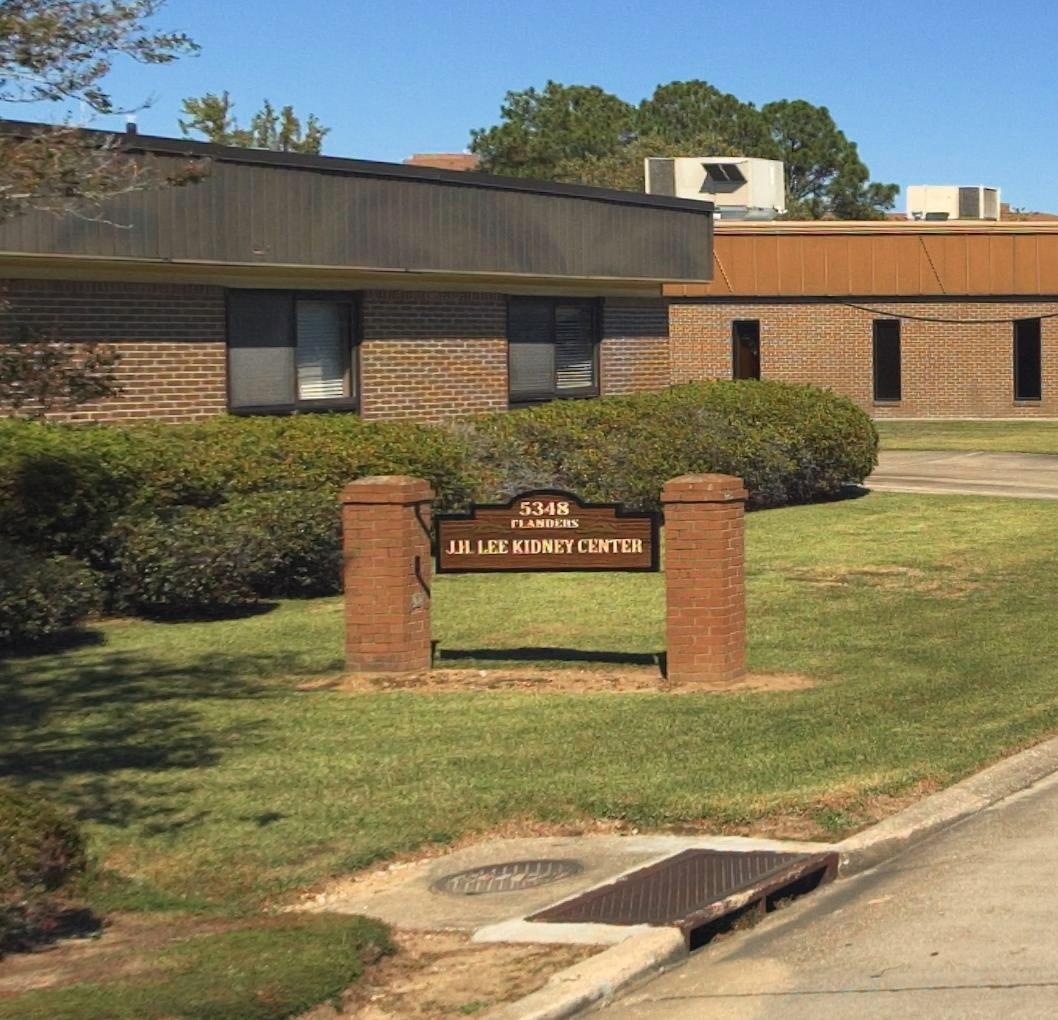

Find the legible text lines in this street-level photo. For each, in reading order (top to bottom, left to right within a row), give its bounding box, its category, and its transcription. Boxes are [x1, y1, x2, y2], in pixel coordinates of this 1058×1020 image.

[517, 499, 571, 518] StreetNumber: 5348
[508, 516, 583, 532] StreetName: FLANDERS
[442, 535, 646, 559] BusinessName: J.H. LEE KIDNEY CENTER